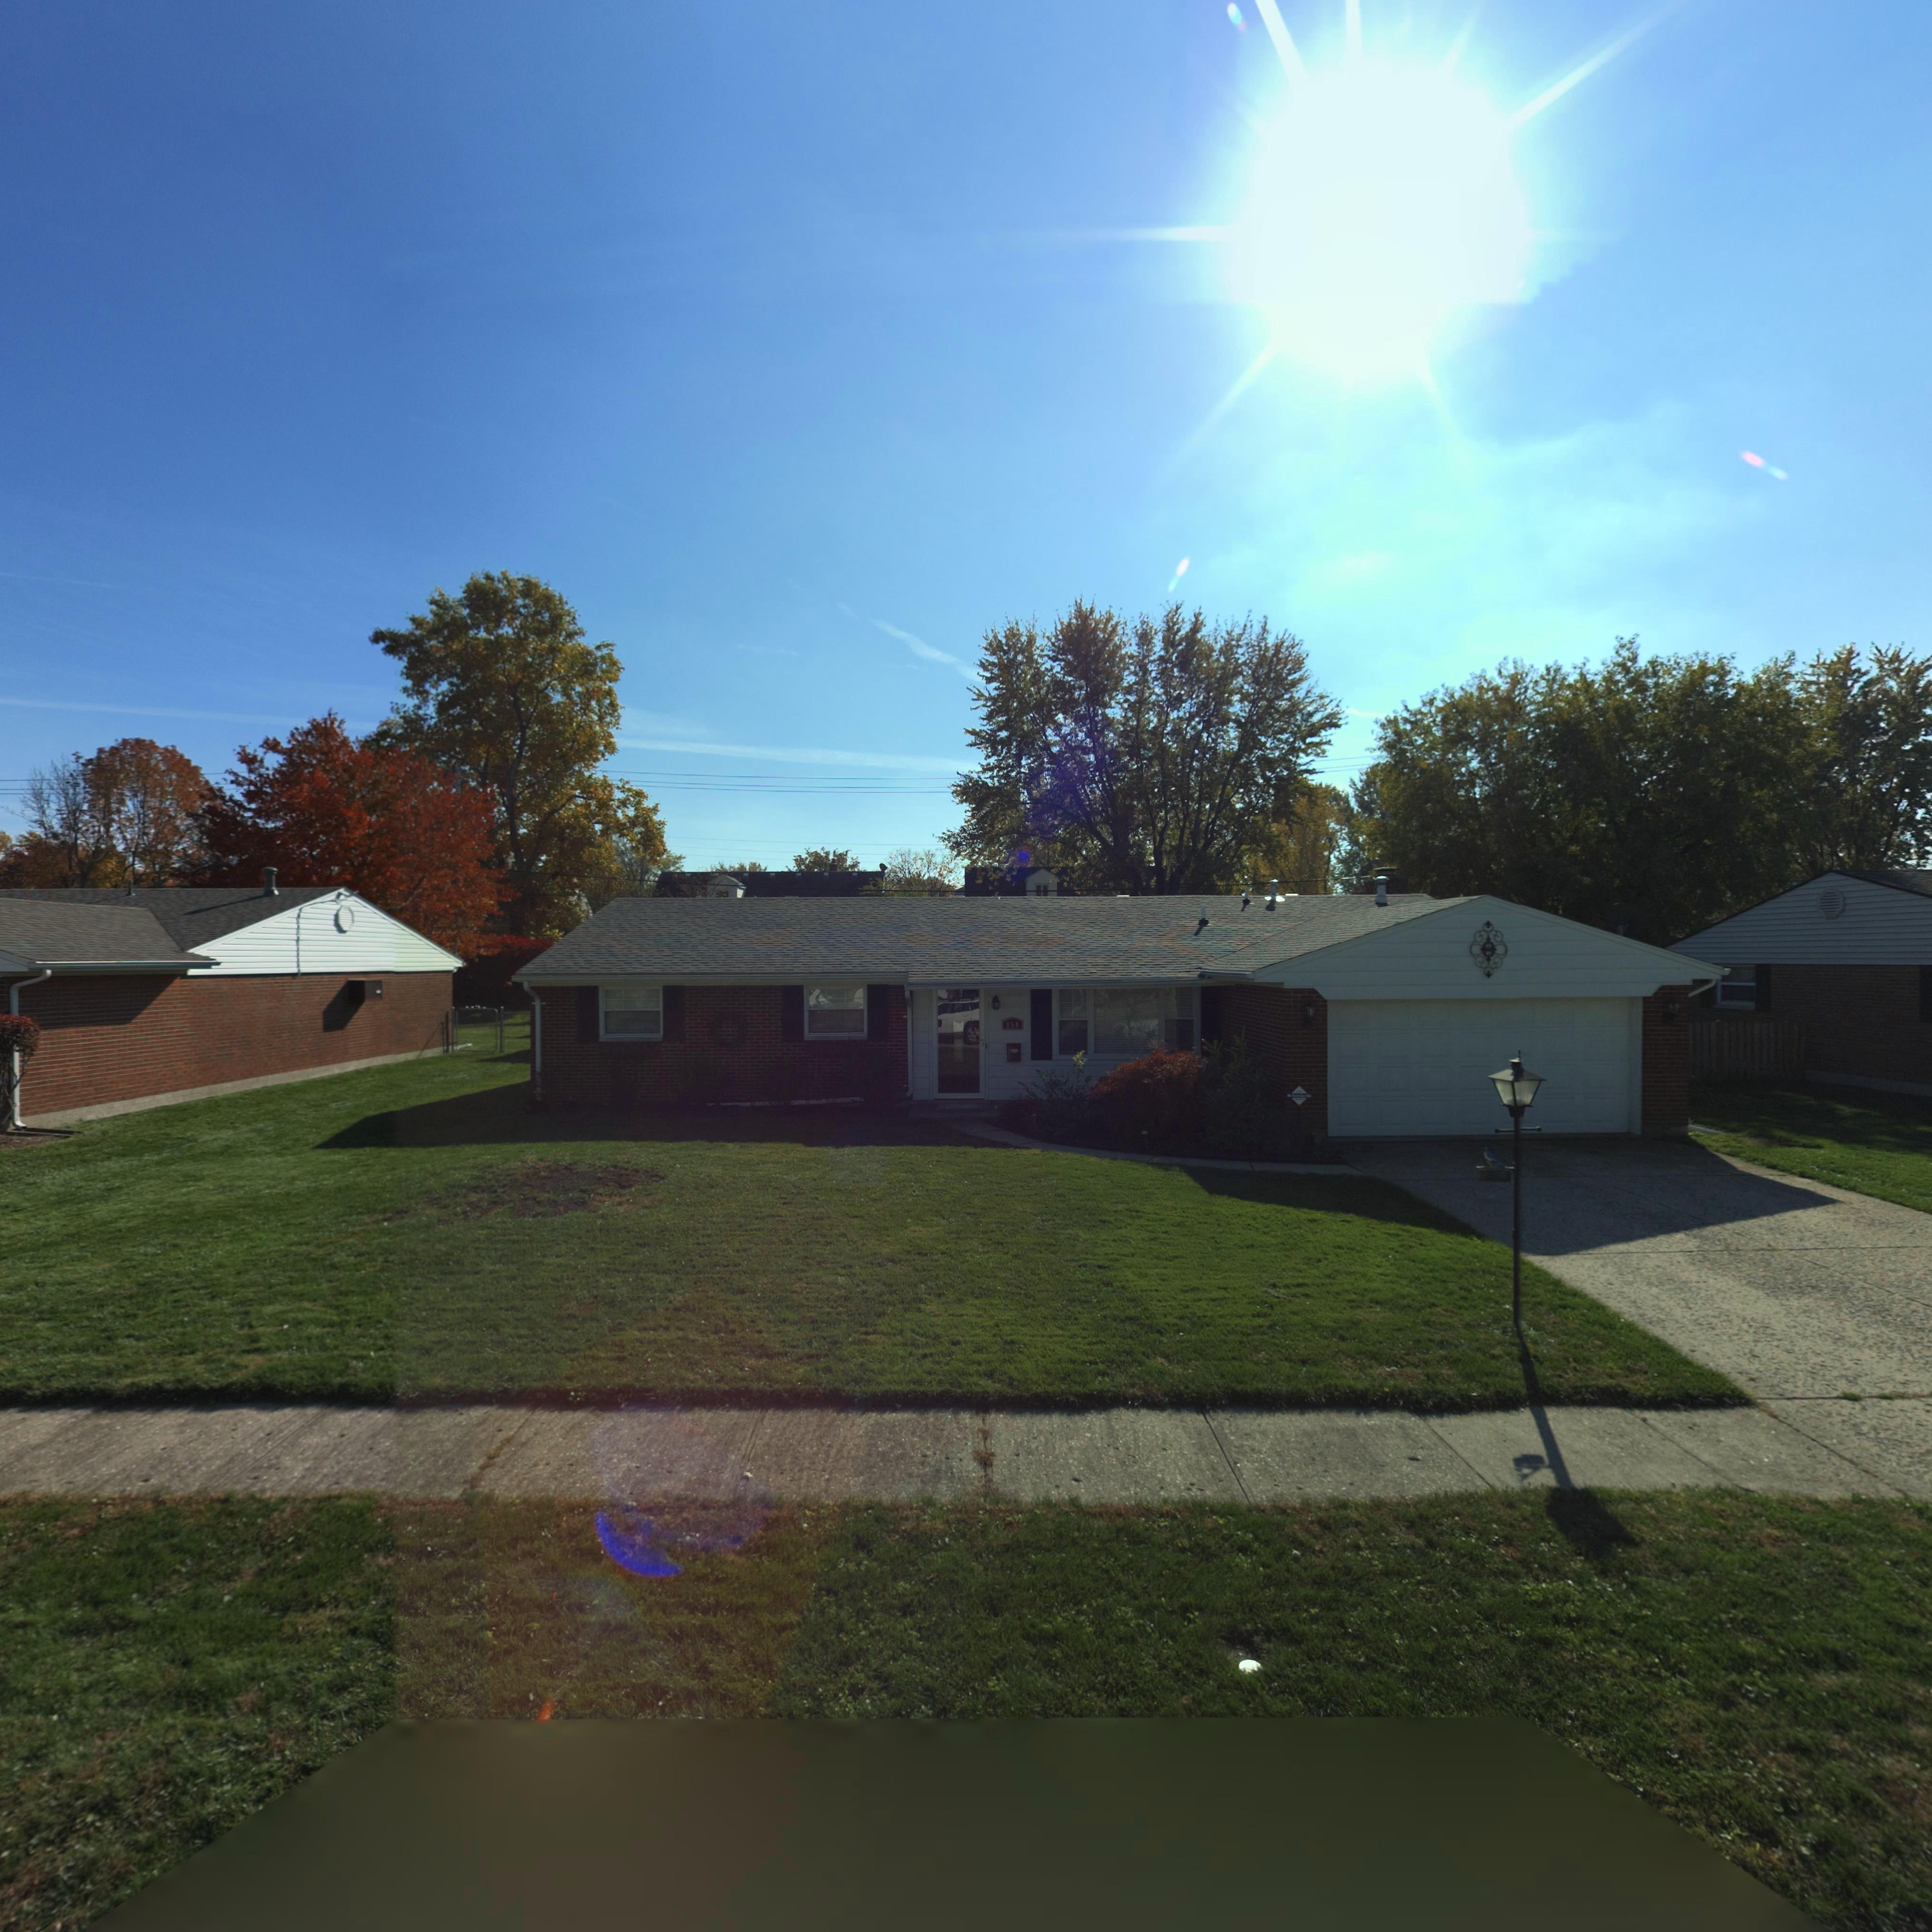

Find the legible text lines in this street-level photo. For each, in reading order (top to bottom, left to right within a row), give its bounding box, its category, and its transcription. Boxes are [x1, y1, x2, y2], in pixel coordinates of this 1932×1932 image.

[1005, 1021, 1019, 1029] StreetNumber: 950